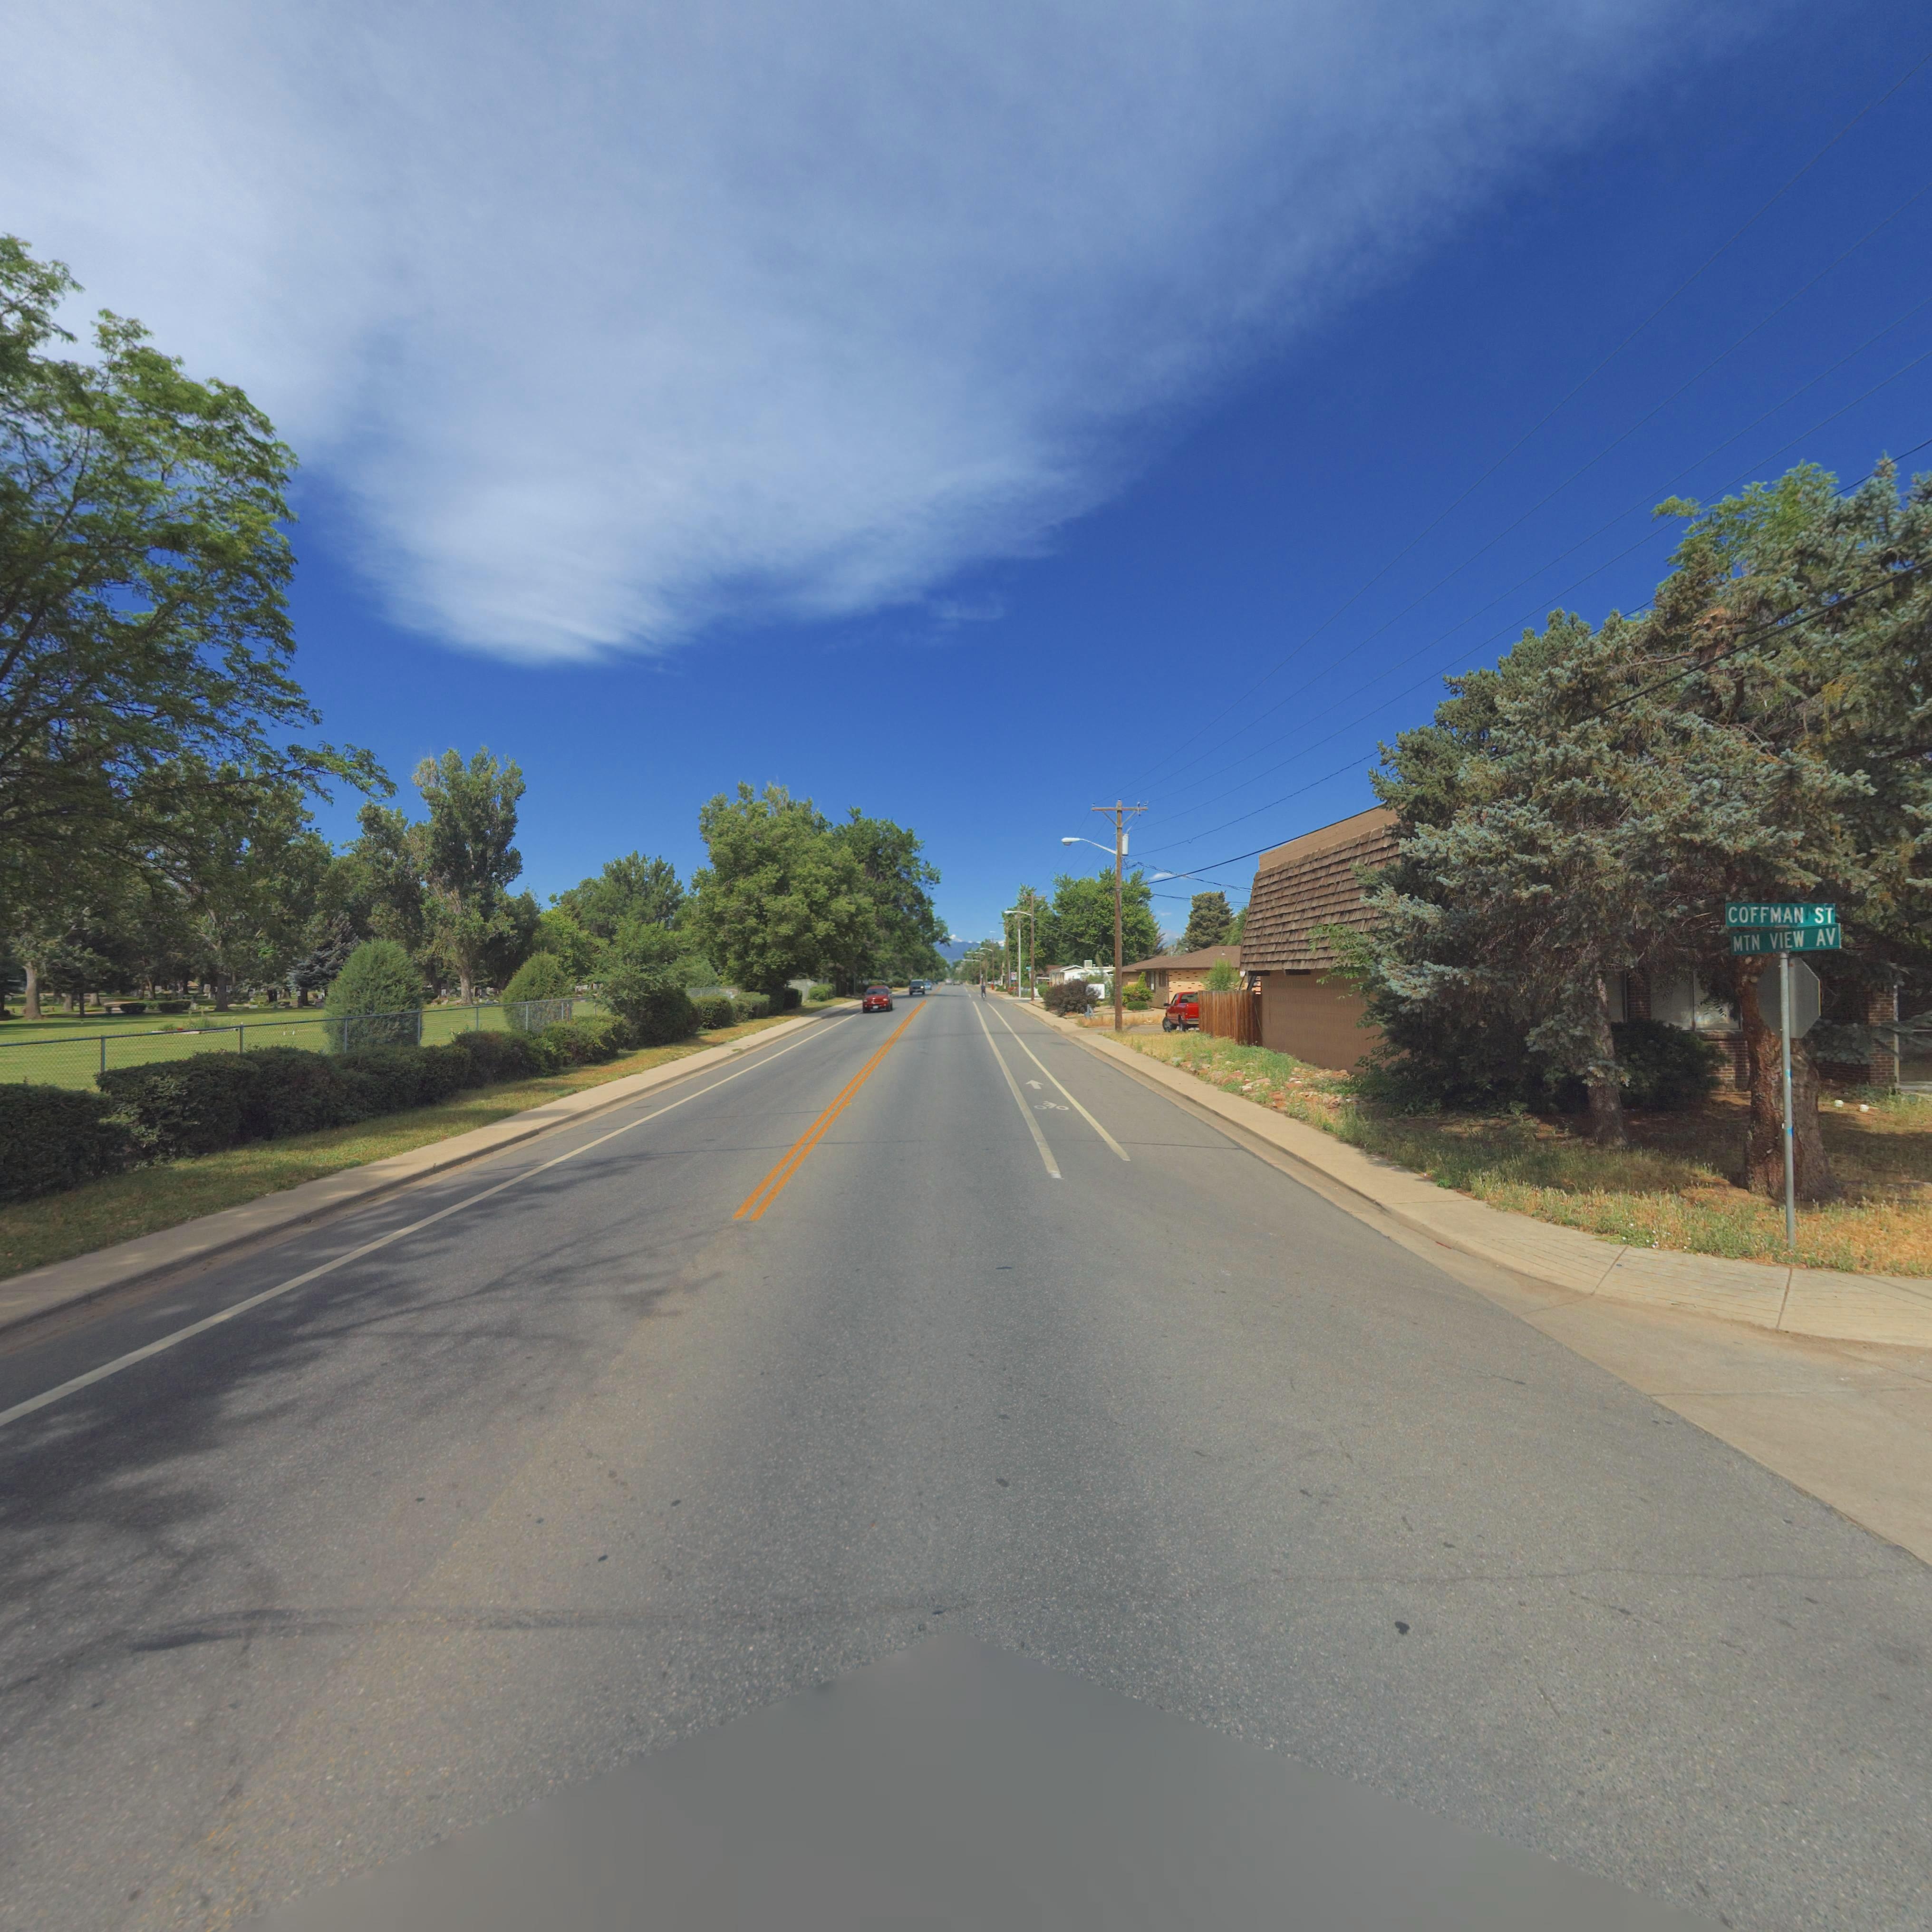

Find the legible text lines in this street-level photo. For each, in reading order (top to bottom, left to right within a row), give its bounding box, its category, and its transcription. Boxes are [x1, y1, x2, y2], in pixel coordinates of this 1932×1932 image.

[1728, 906, 1835, 924] StreetName: COFFMAN ST
[1733, 927, 1836, 952] StreetName: MTN VIEW AV